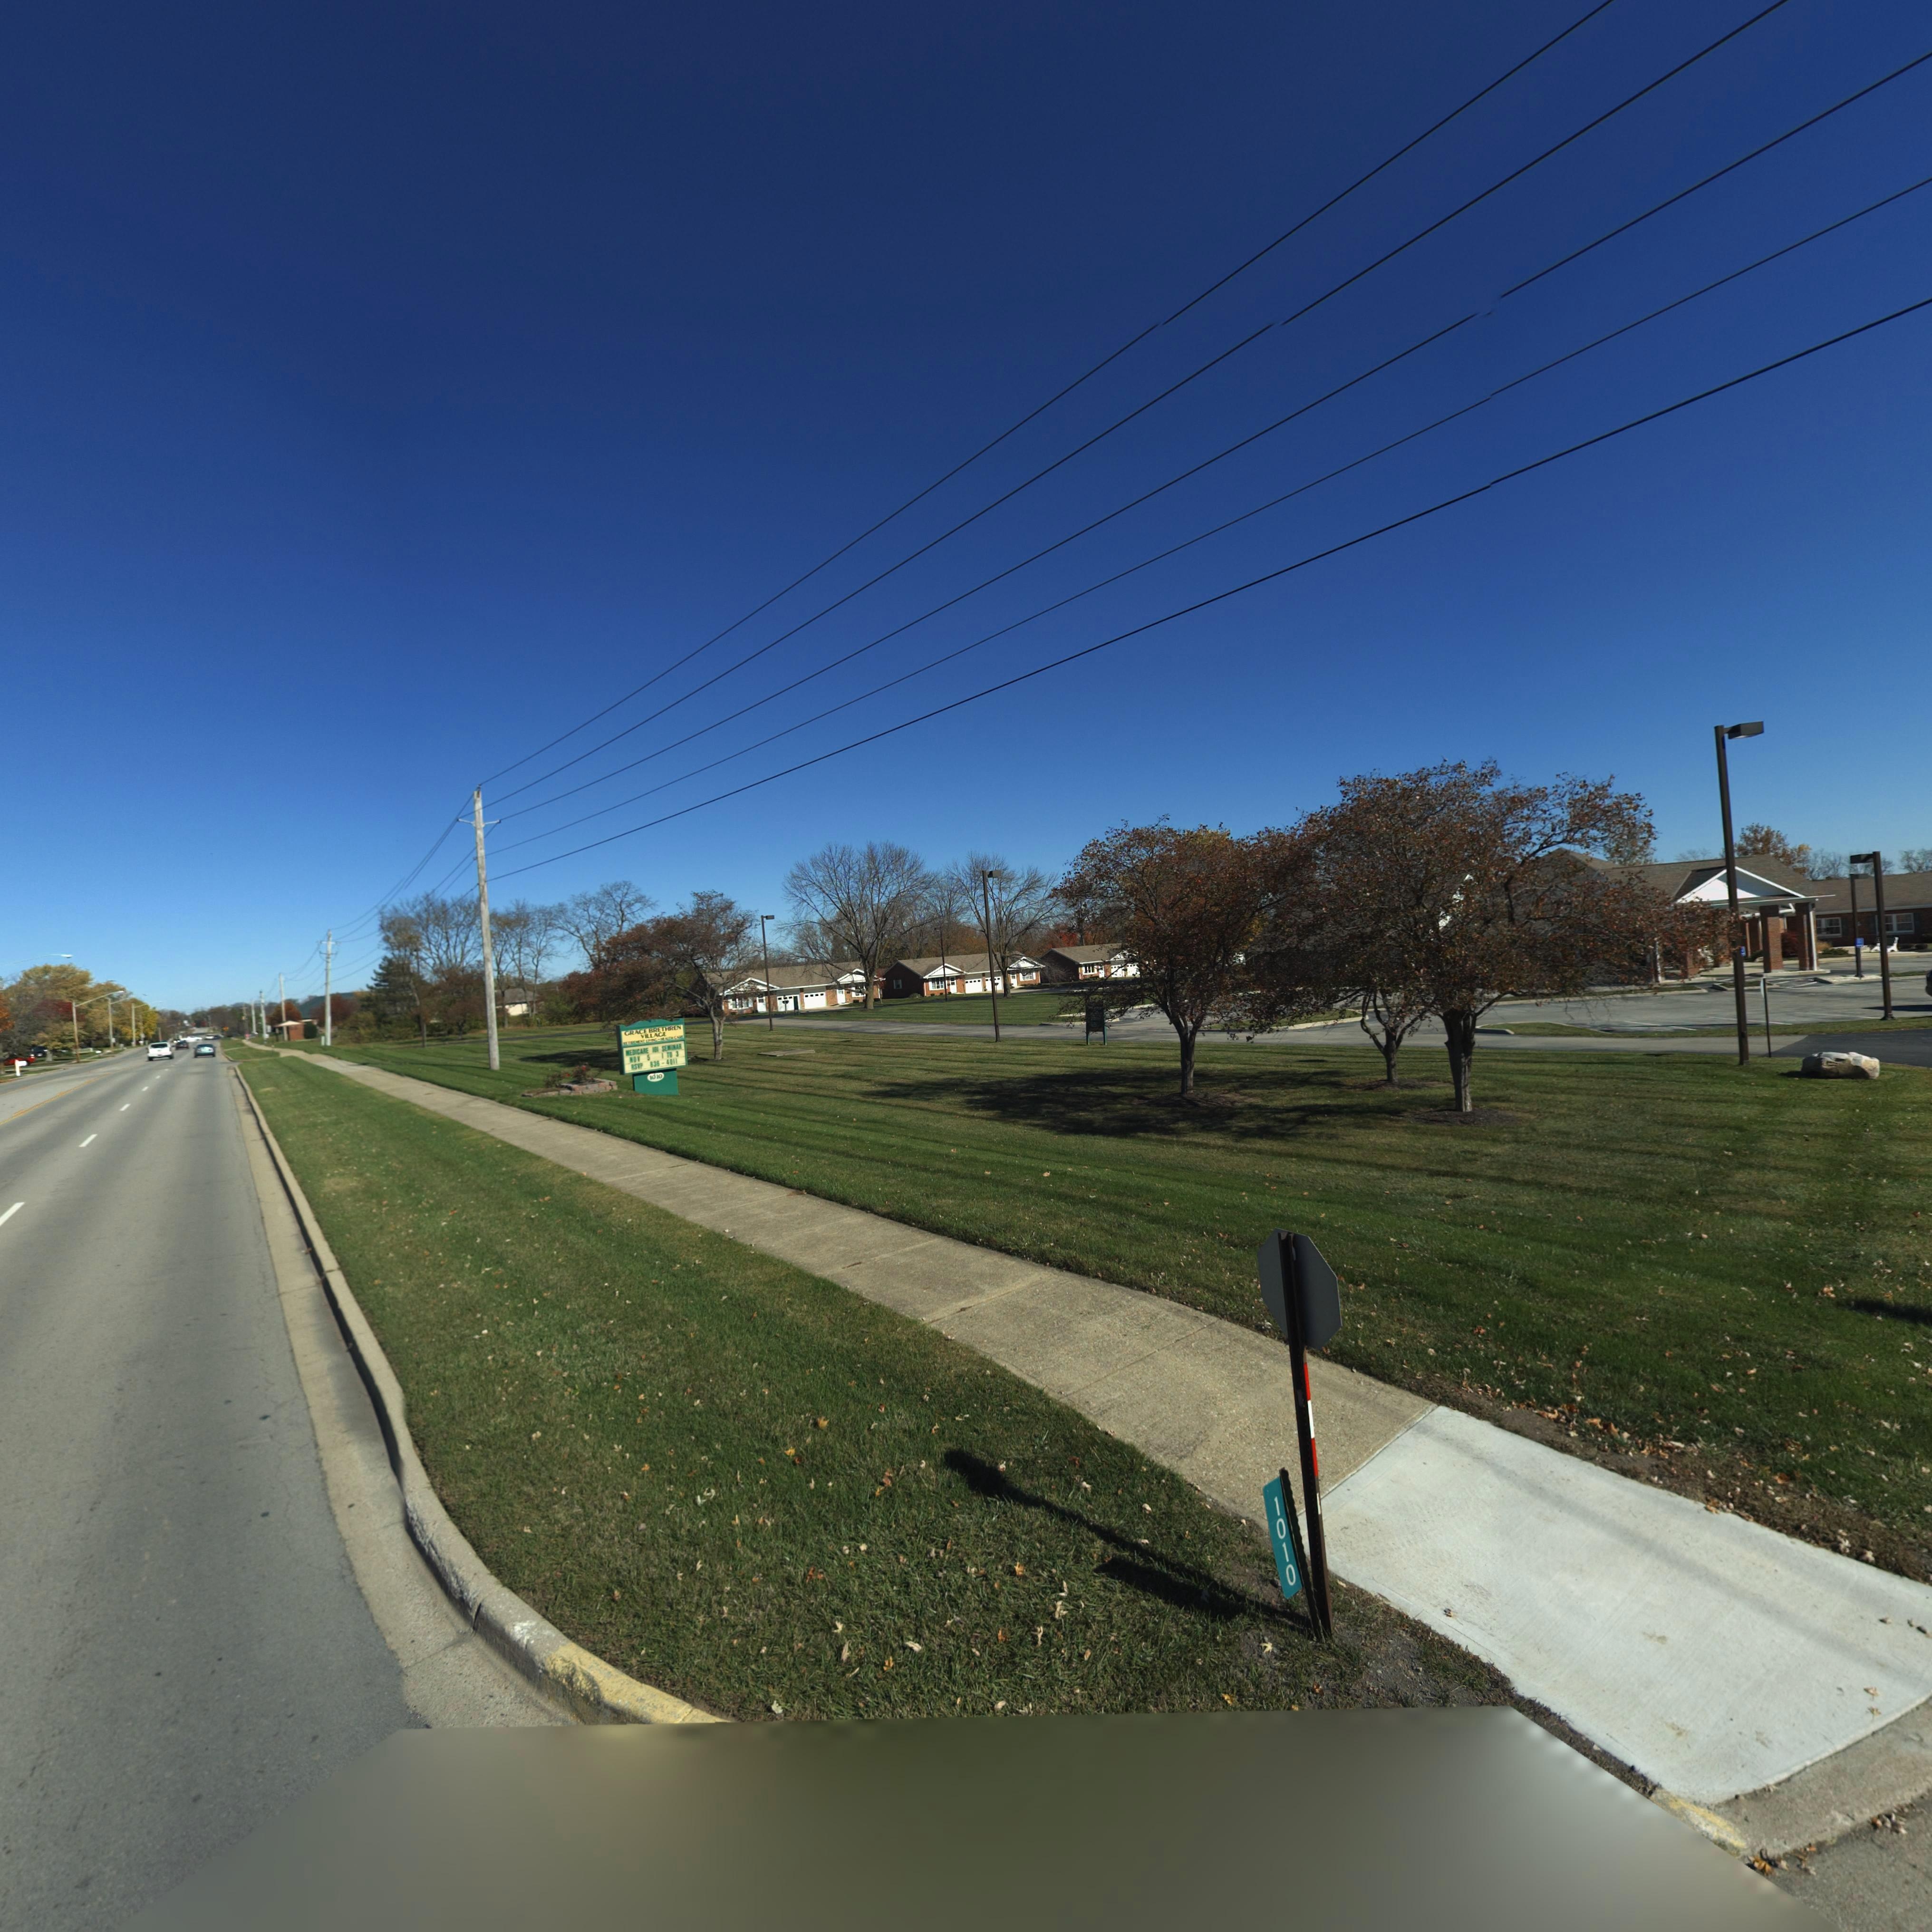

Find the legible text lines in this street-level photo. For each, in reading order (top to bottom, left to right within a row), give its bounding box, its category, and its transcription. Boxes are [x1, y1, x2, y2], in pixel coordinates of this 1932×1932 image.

[648, 1073, 663, 1081] StreetNumber: 1010
[1272, 1493, 1297, 1587] StreetNumber: 1010